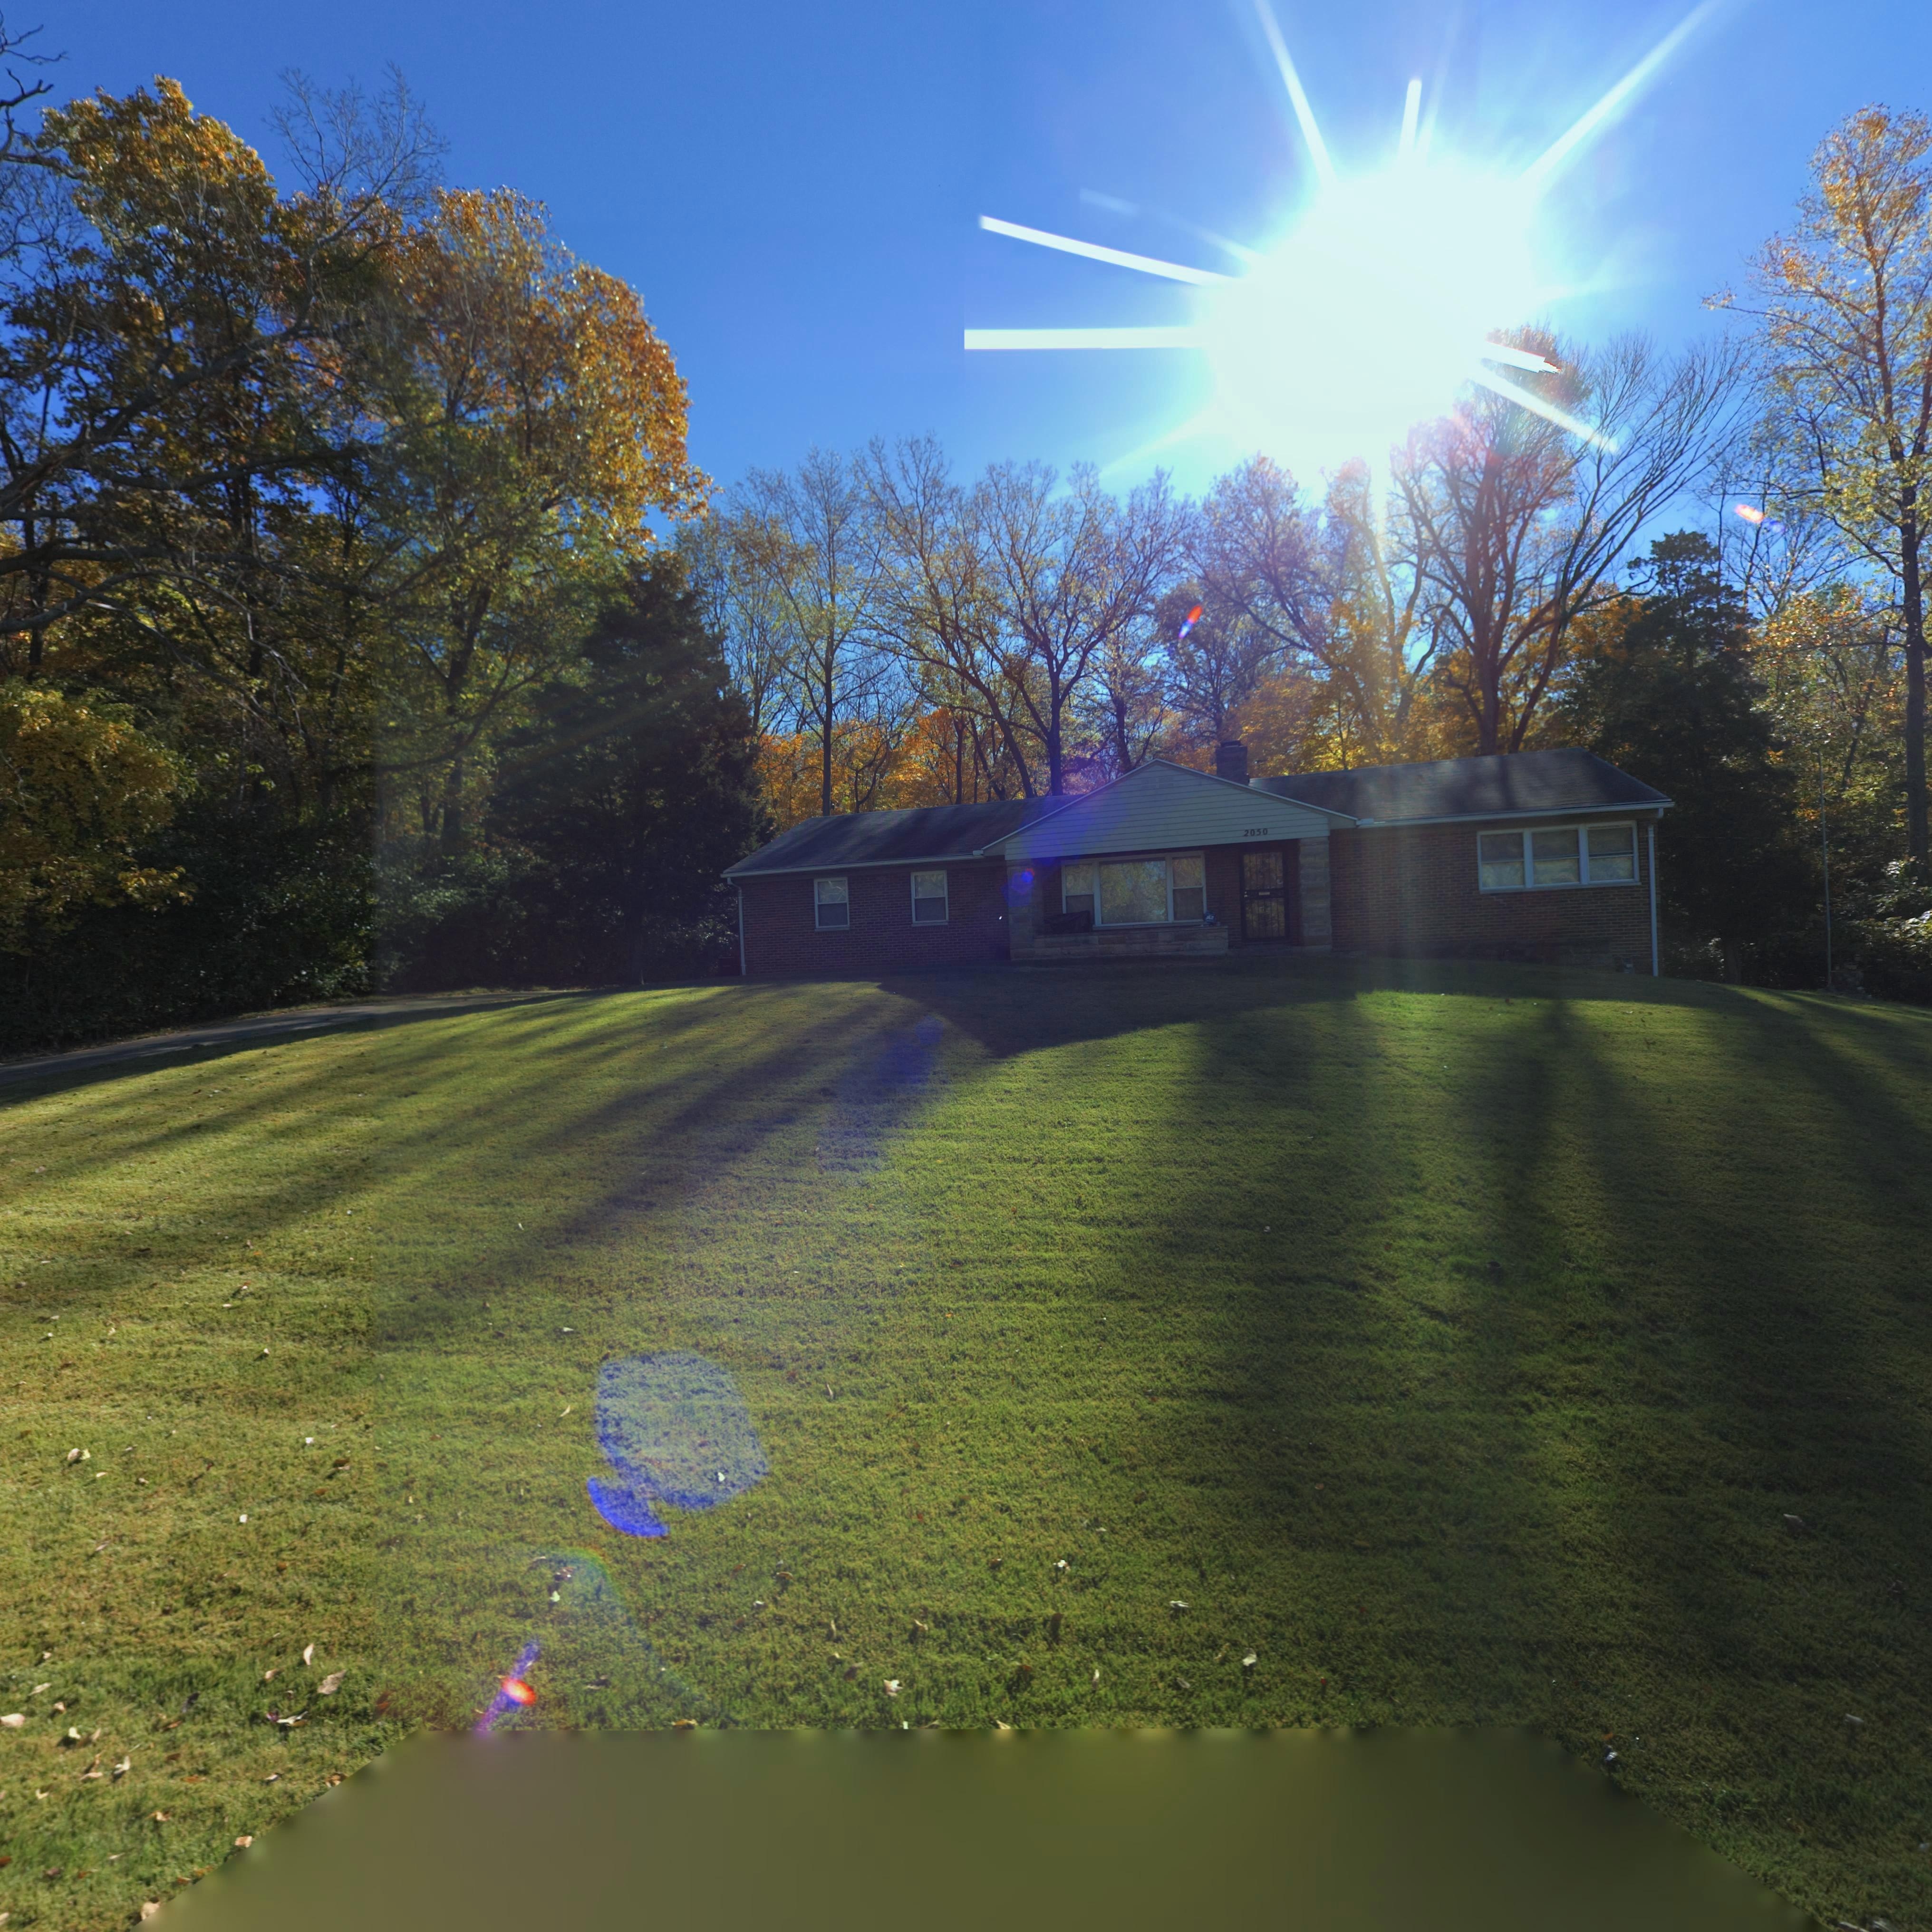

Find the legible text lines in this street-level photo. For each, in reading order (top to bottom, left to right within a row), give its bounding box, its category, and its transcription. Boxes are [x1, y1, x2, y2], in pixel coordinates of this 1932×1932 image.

[1243, 827, 1269, 837] StreetNumber: 2050